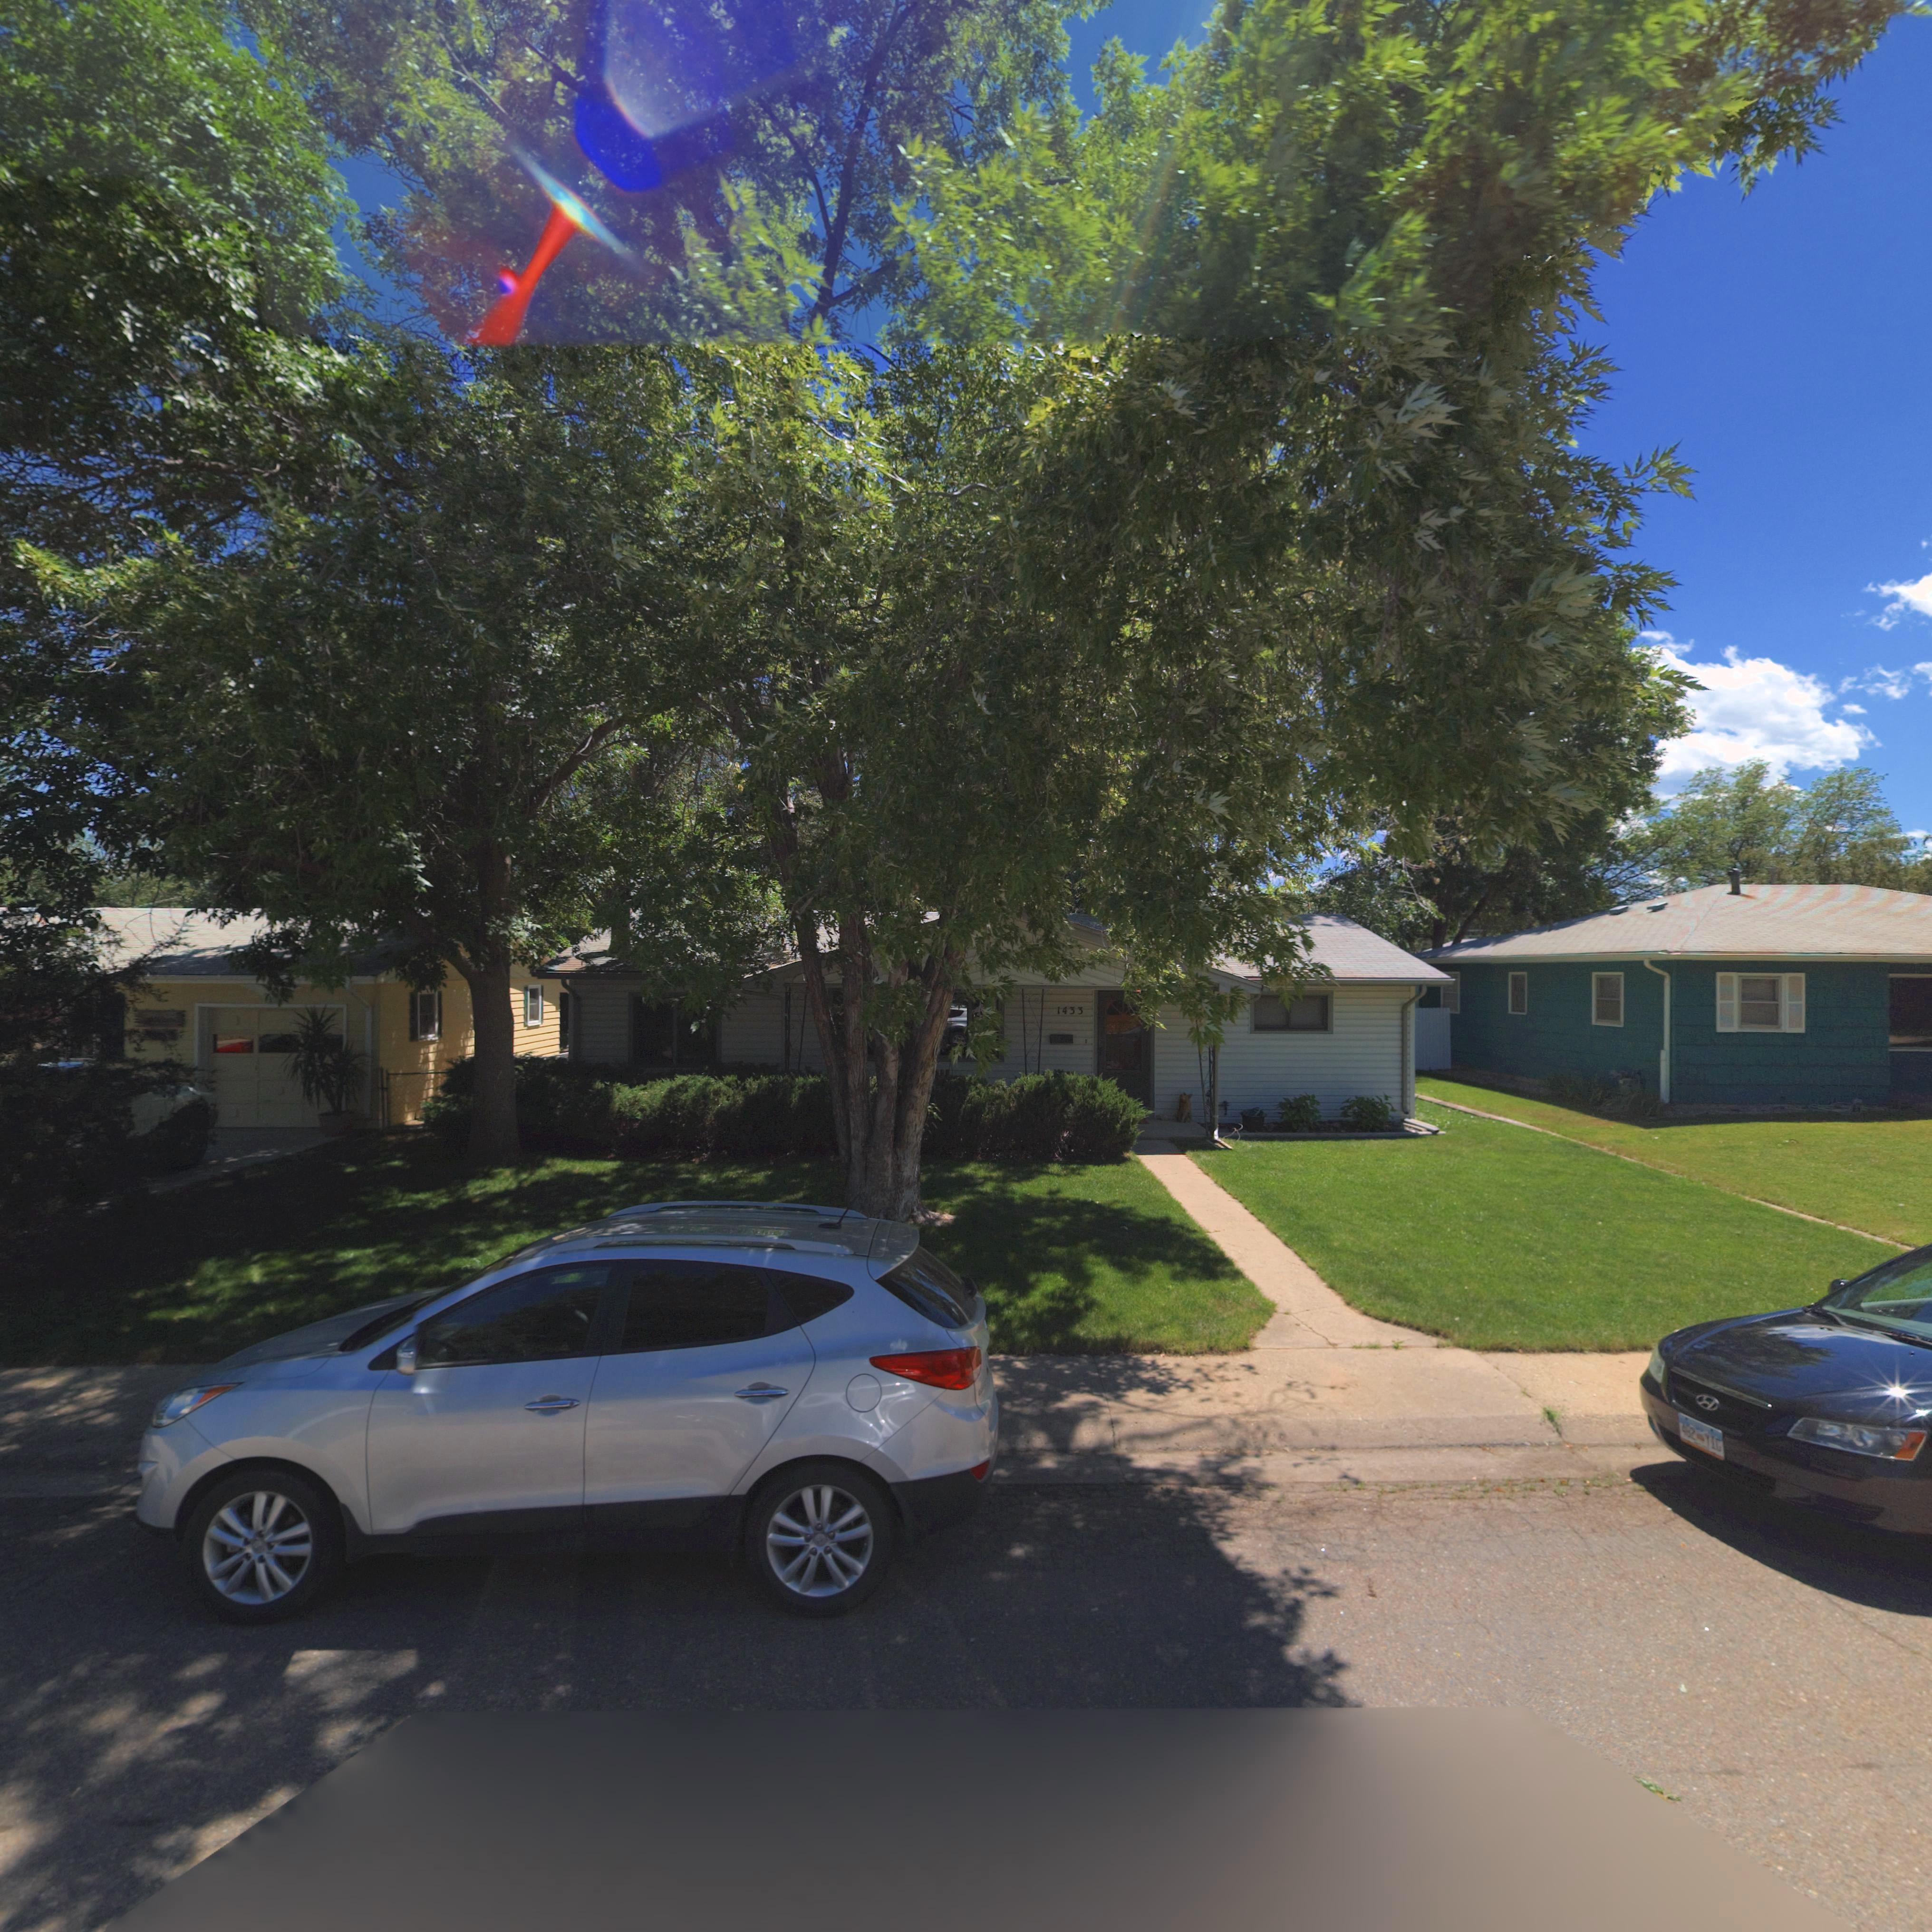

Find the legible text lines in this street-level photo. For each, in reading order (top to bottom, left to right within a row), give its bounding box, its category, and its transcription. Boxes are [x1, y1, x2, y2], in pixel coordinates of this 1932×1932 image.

[1057, 1005, 1083, 1015] StreetNumber: 1433